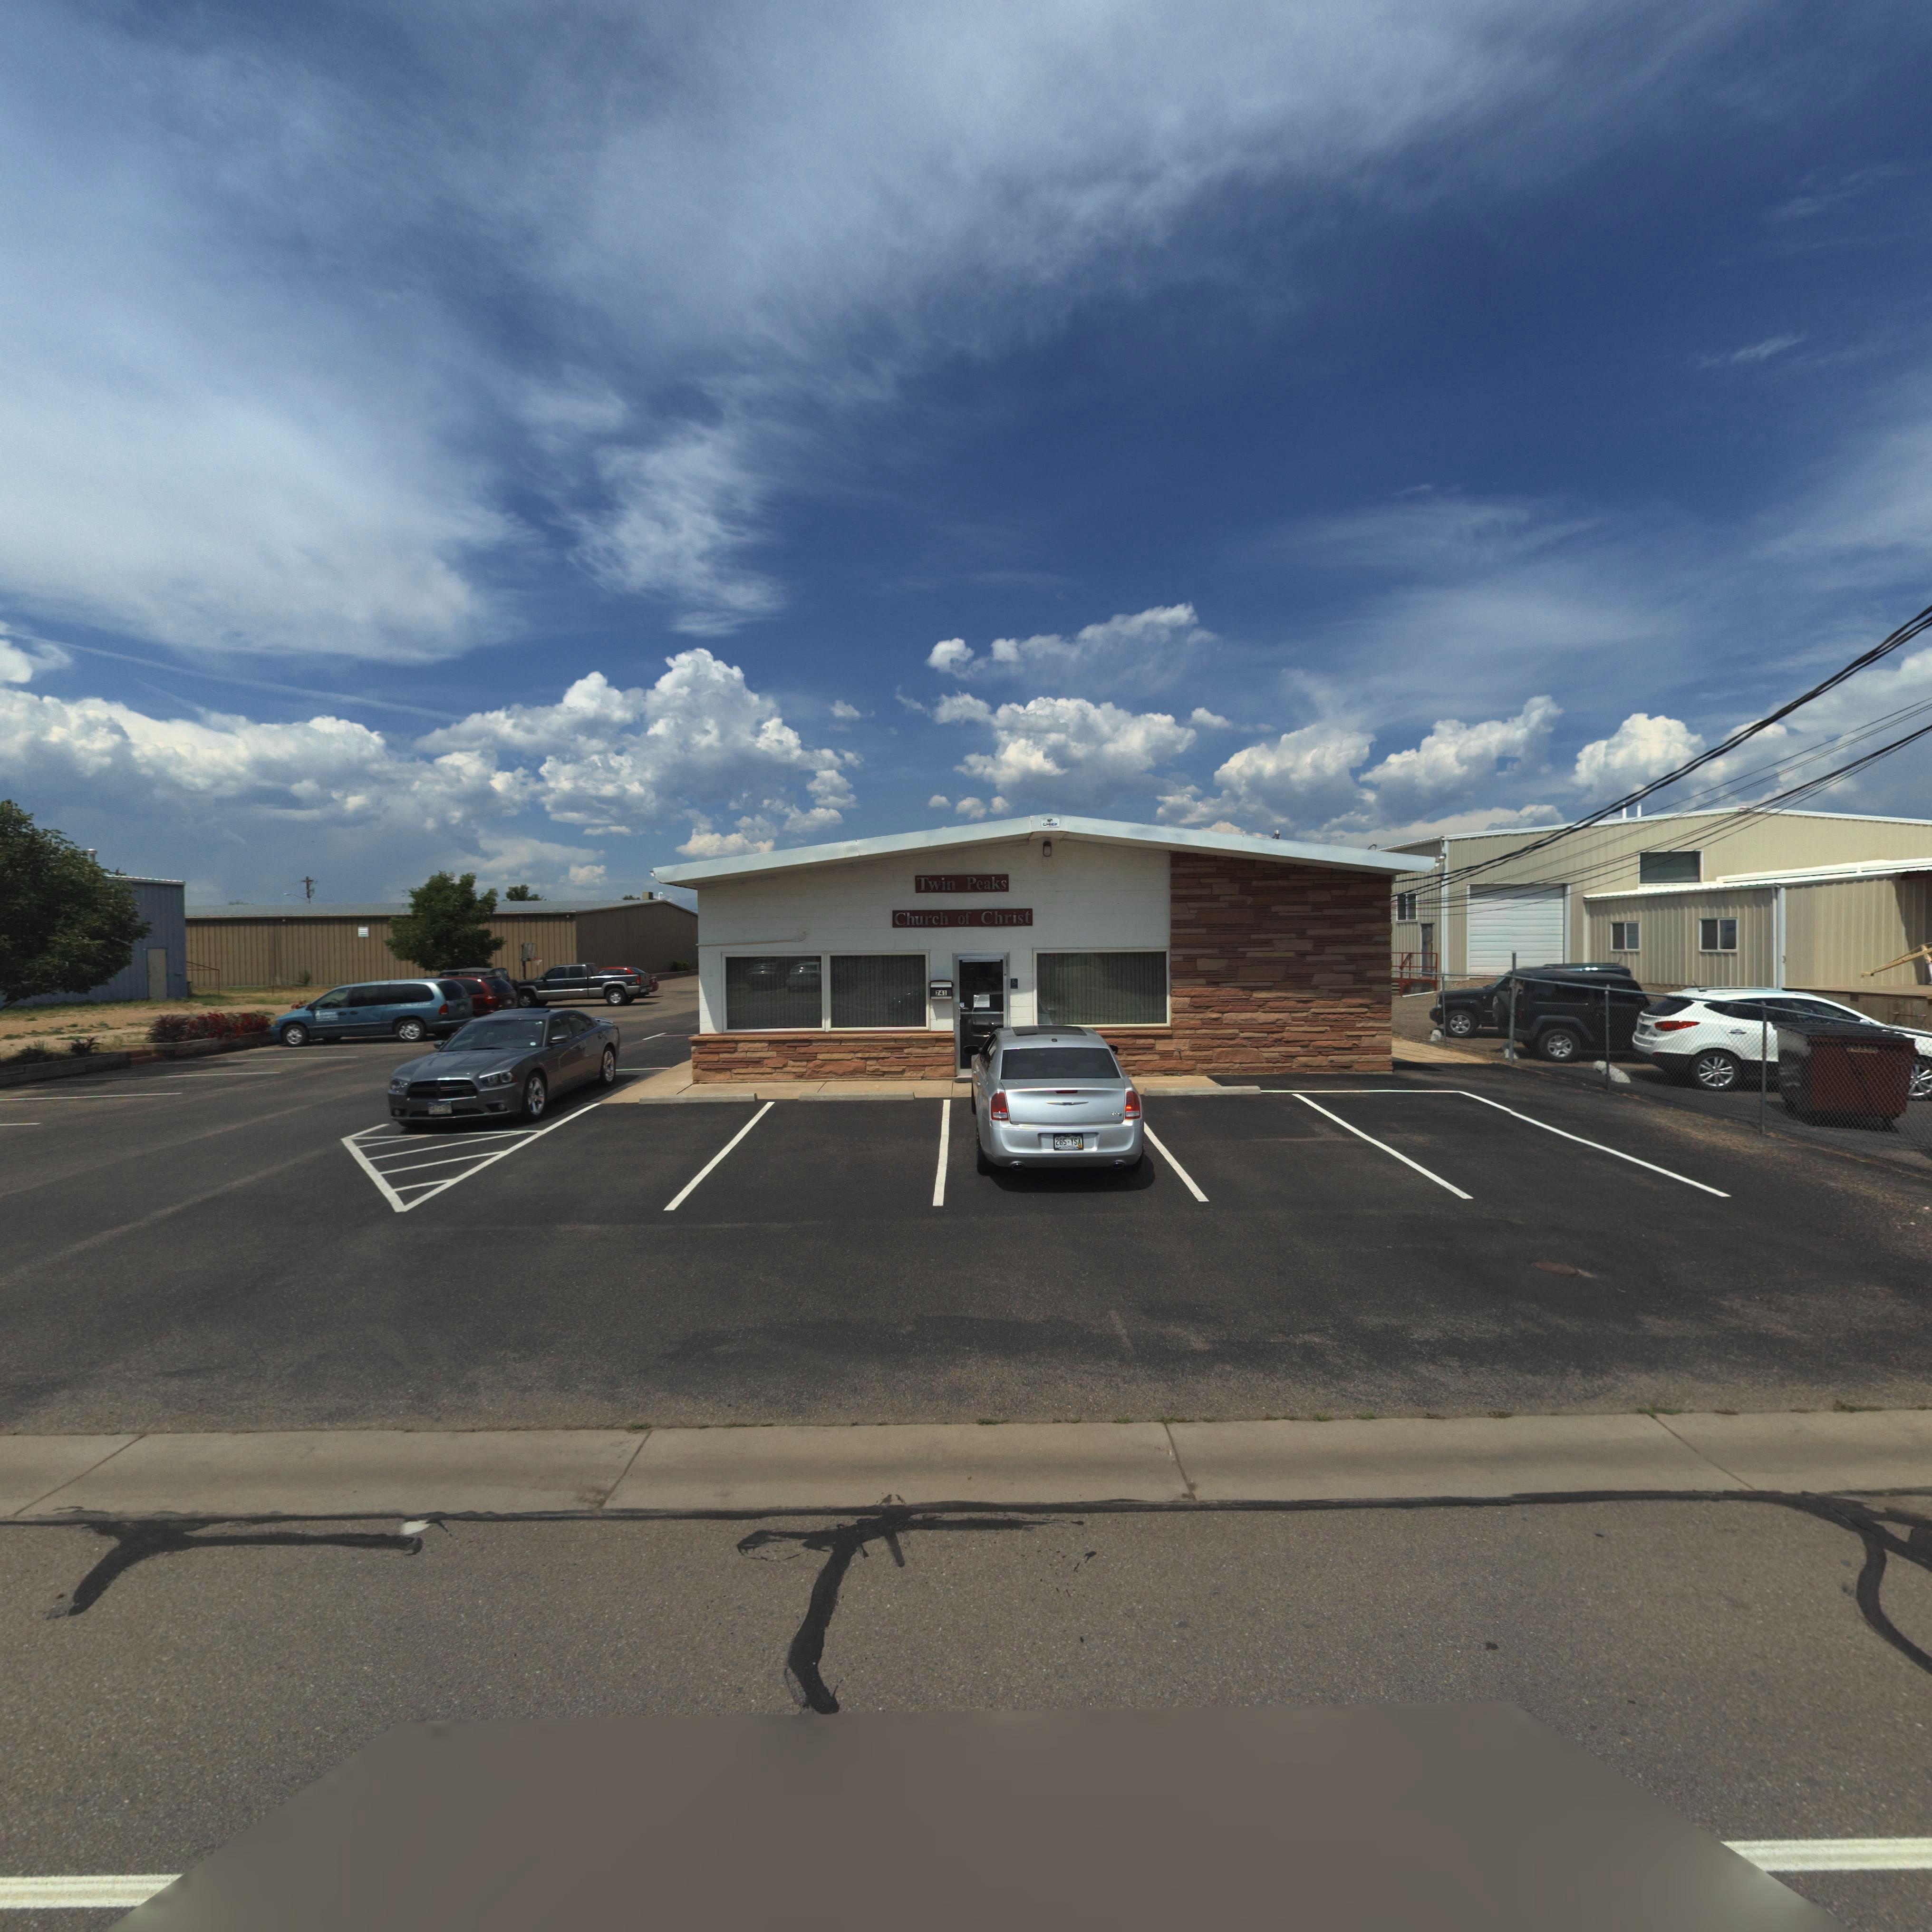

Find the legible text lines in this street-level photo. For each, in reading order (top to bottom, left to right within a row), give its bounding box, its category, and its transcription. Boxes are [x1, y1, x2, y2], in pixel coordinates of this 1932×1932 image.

[916, 876, 1006, 892] BusinessName: Twin Peaks 
[893, 909, 1031, 926] BusinessName: Church of Christ
[935, 990, 946, 995] StreetNumber: 741